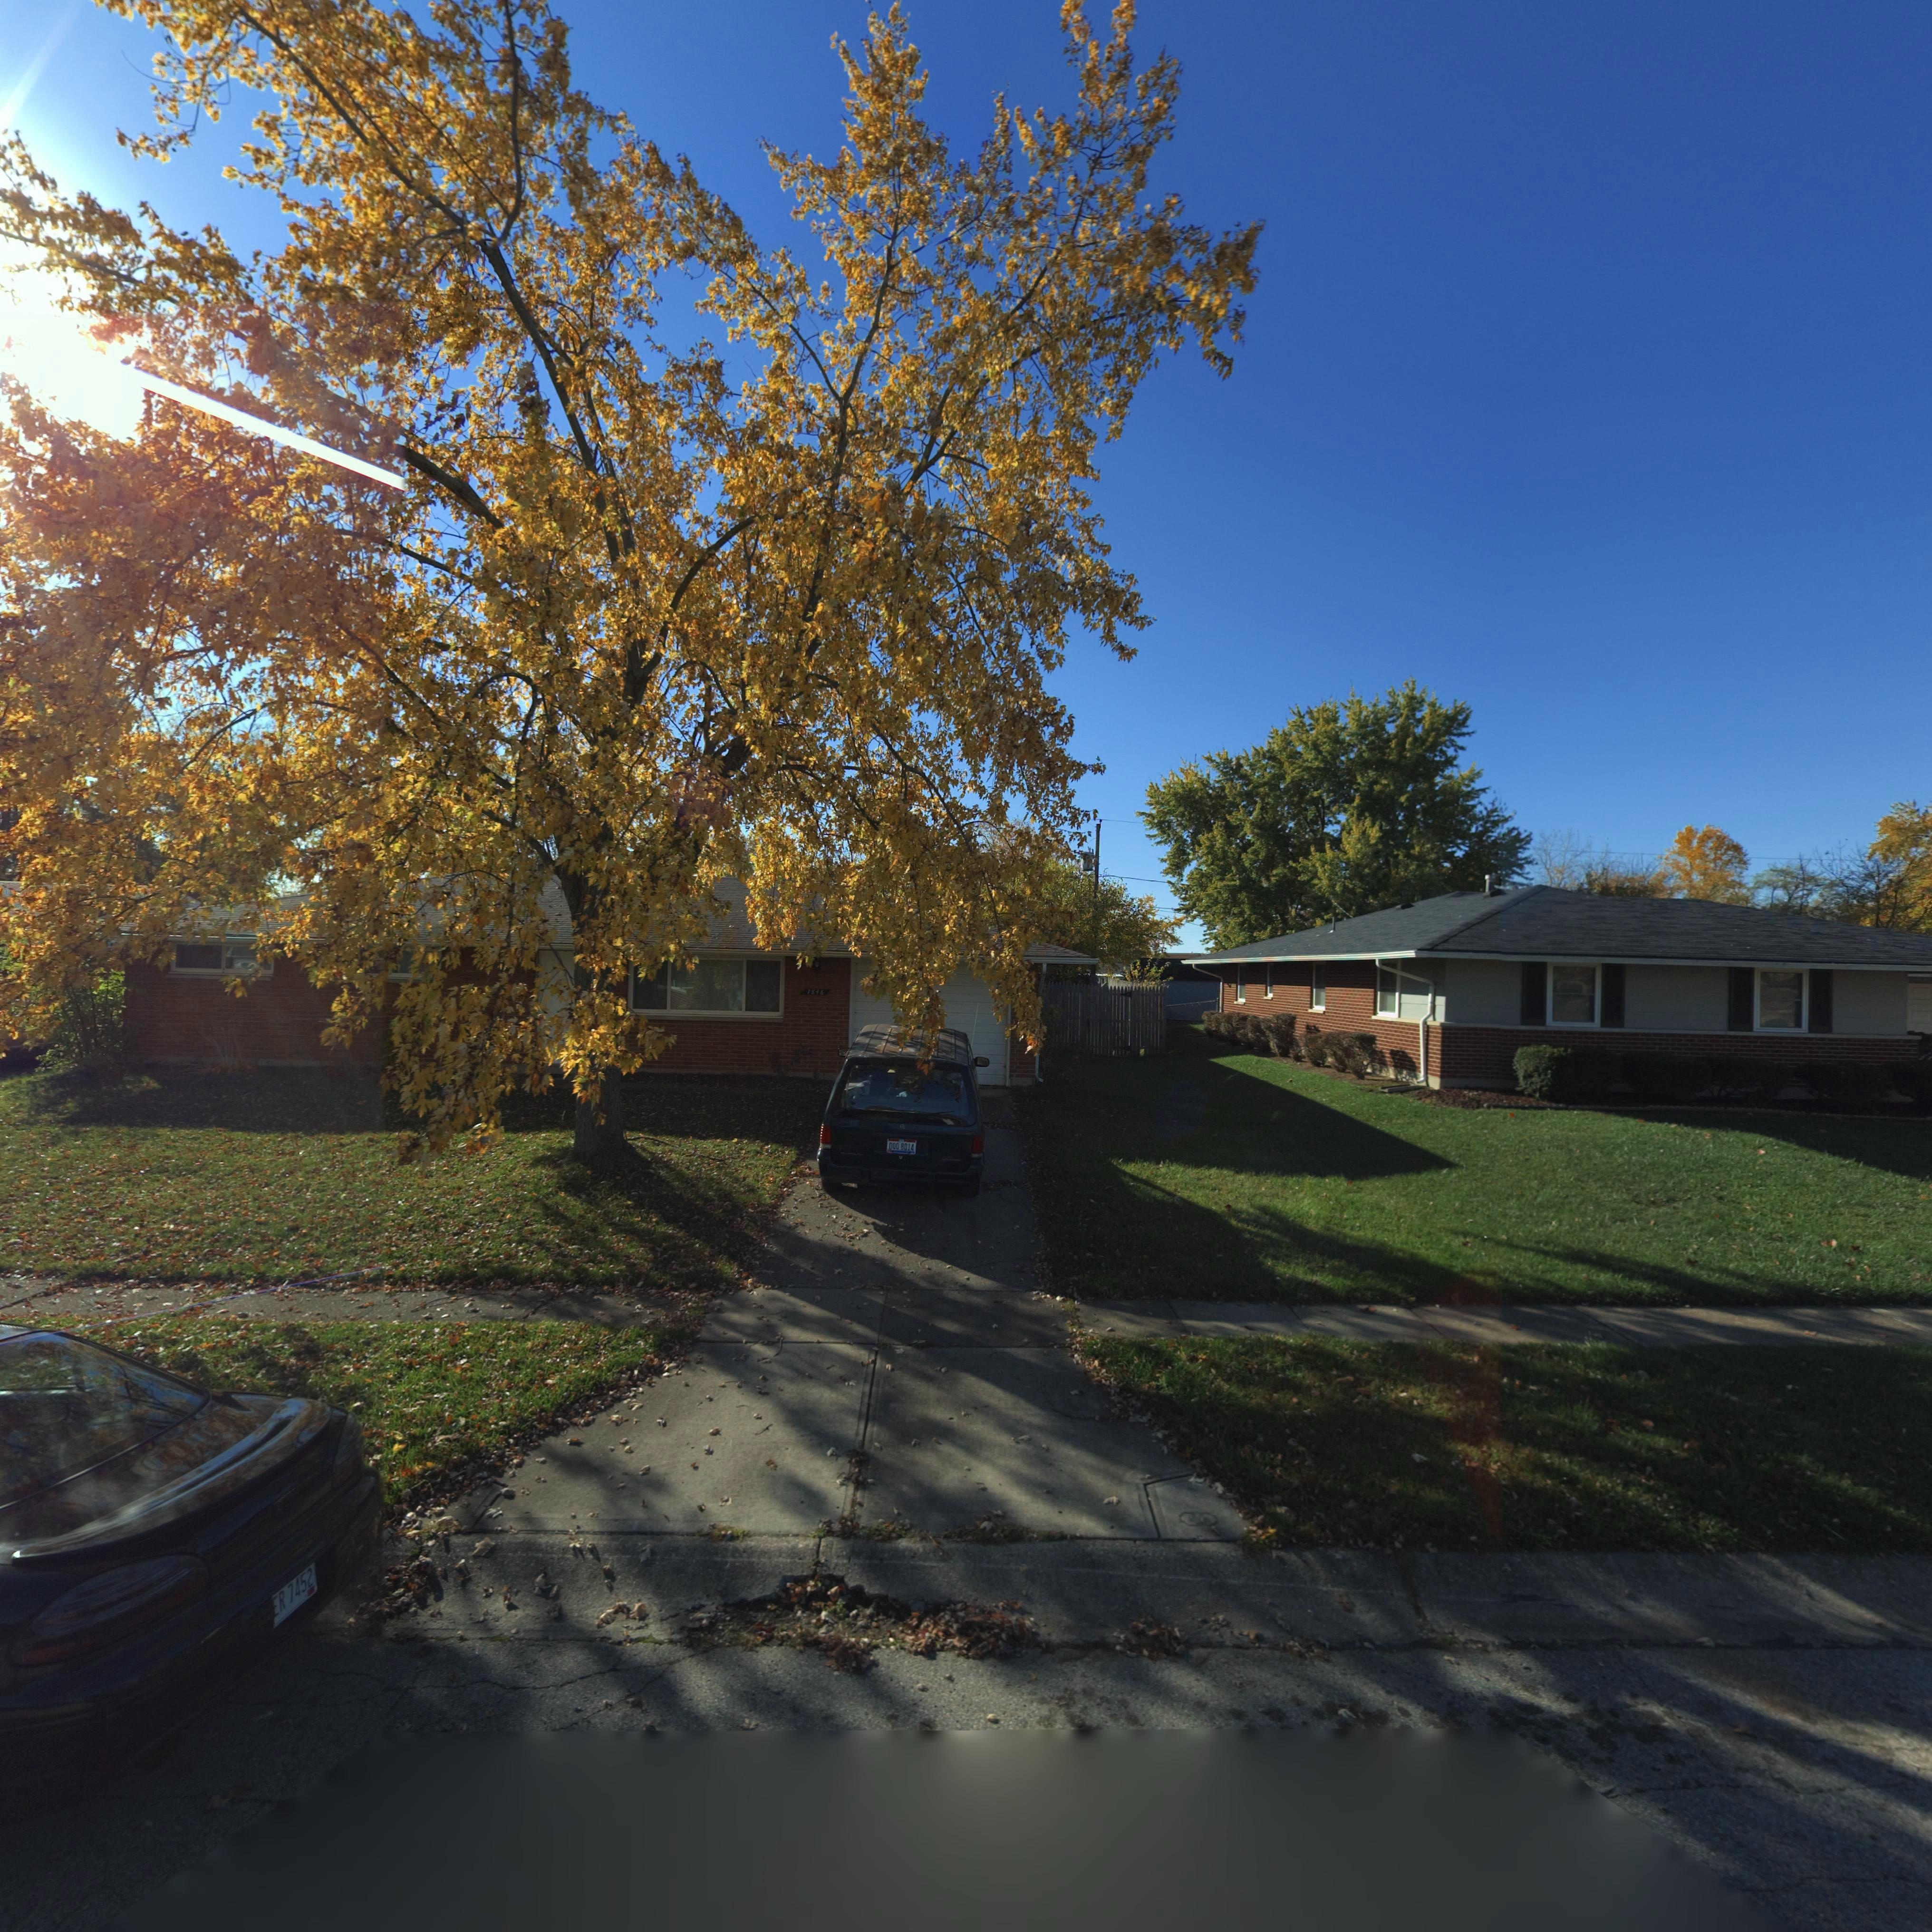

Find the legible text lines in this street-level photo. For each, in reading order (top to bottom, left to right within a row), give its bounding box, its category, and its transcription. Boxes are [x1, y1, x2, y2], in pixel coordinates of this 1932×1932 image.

[807, 989, 824, 995] StreetNumber: 7846